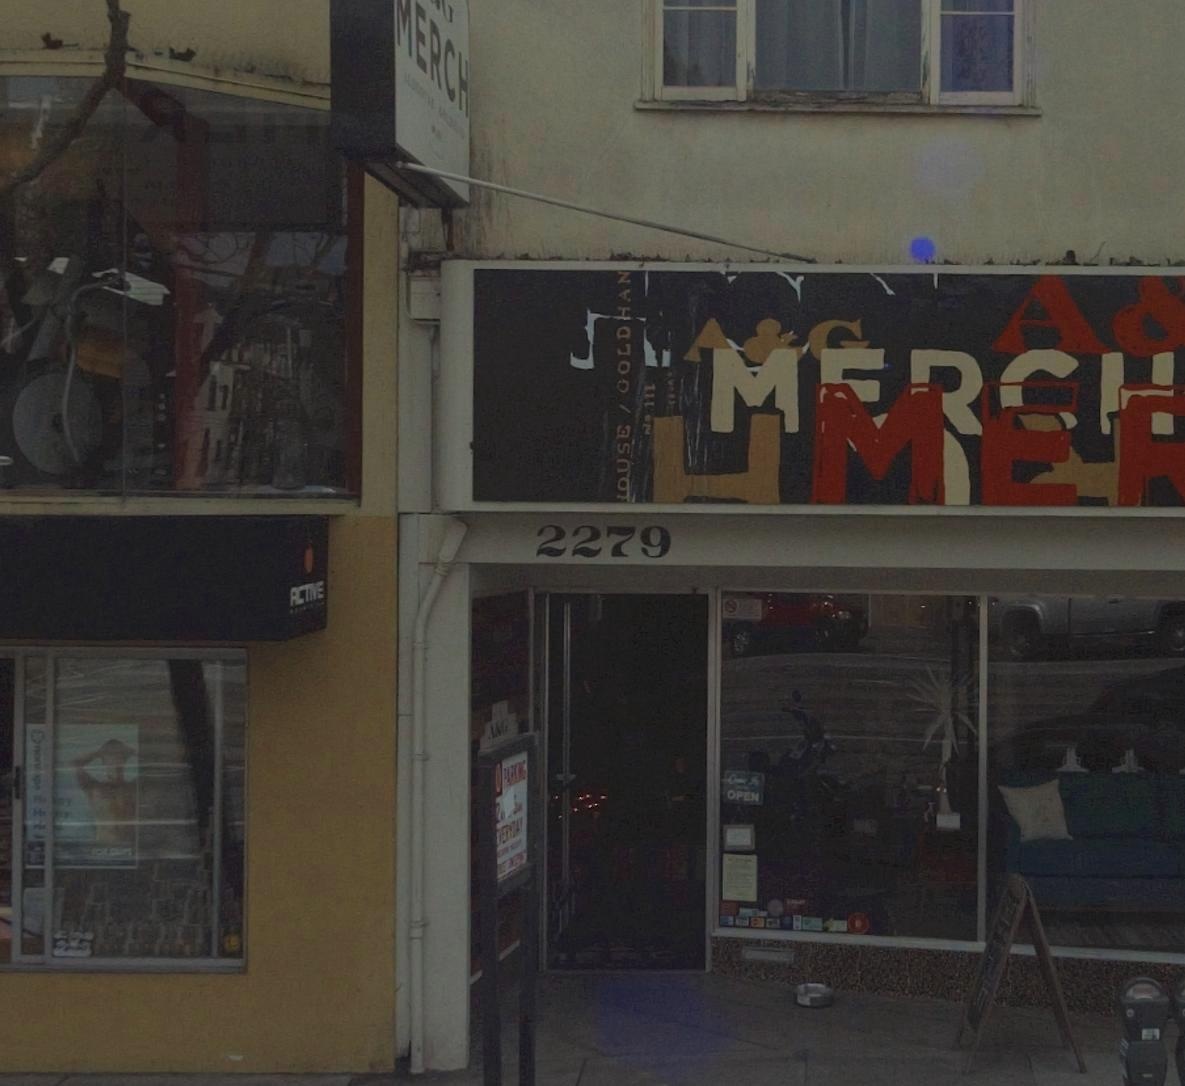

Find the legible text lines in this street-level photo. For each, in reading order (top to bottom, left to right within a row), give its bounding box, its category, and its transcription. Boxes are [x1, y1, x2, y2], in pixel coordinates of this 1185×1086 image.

[413, 0, 471, 121] None: ERCH
[988, 273, 1117, 354] None: A
[614, 268, 636, 503] None: LOUSE / GOLD*AN
[533, 522, 674, 563] StreetNumber: 2279
[288, 576, 327, 612] StreetNumber: ACTNE
[493, 762, 509, 797] None: O P
[725, 787, 762, 804] None: OPEN